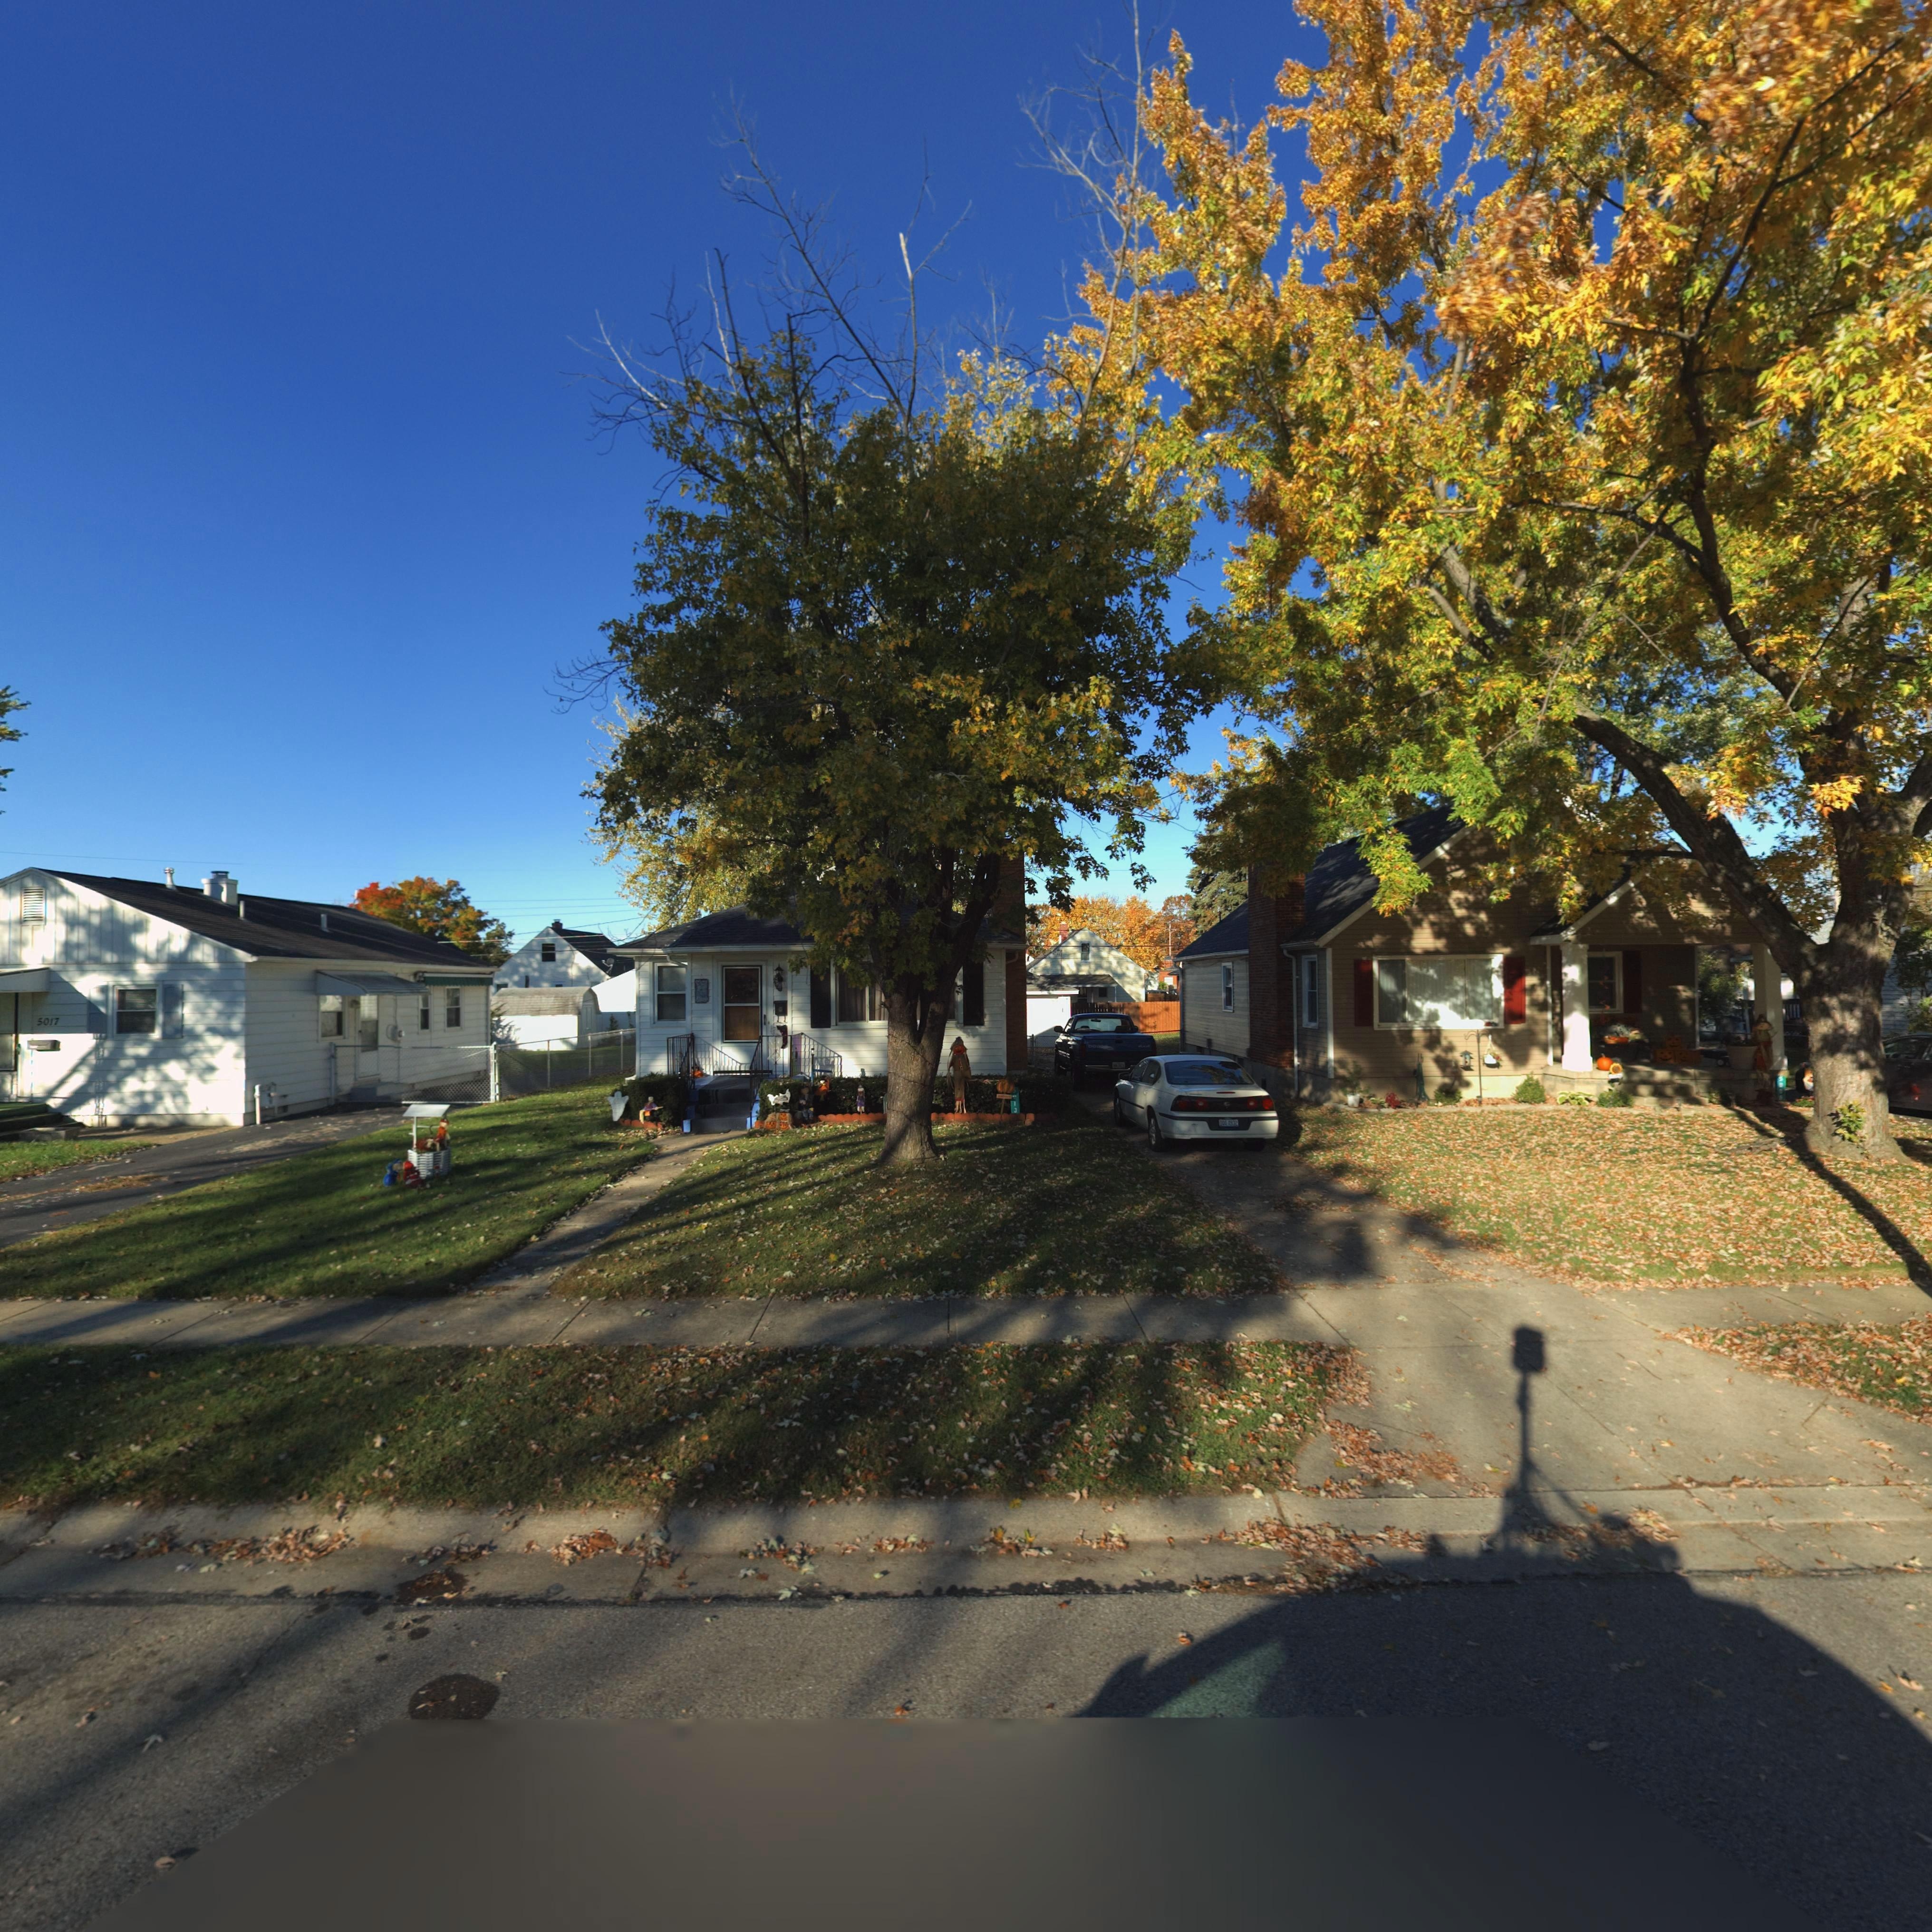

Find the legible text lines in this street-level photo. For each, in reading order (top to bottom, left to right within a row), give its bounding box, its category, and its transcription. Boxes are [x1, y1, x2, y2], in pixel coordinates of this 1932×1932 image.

[36, 1017, 60, 1026] StreetNumber: 5017
[1012, 1087, 1018, 1113] StreetNumber: *013
[1778, 1075, 1784, 1101] StreetNumber: *00*